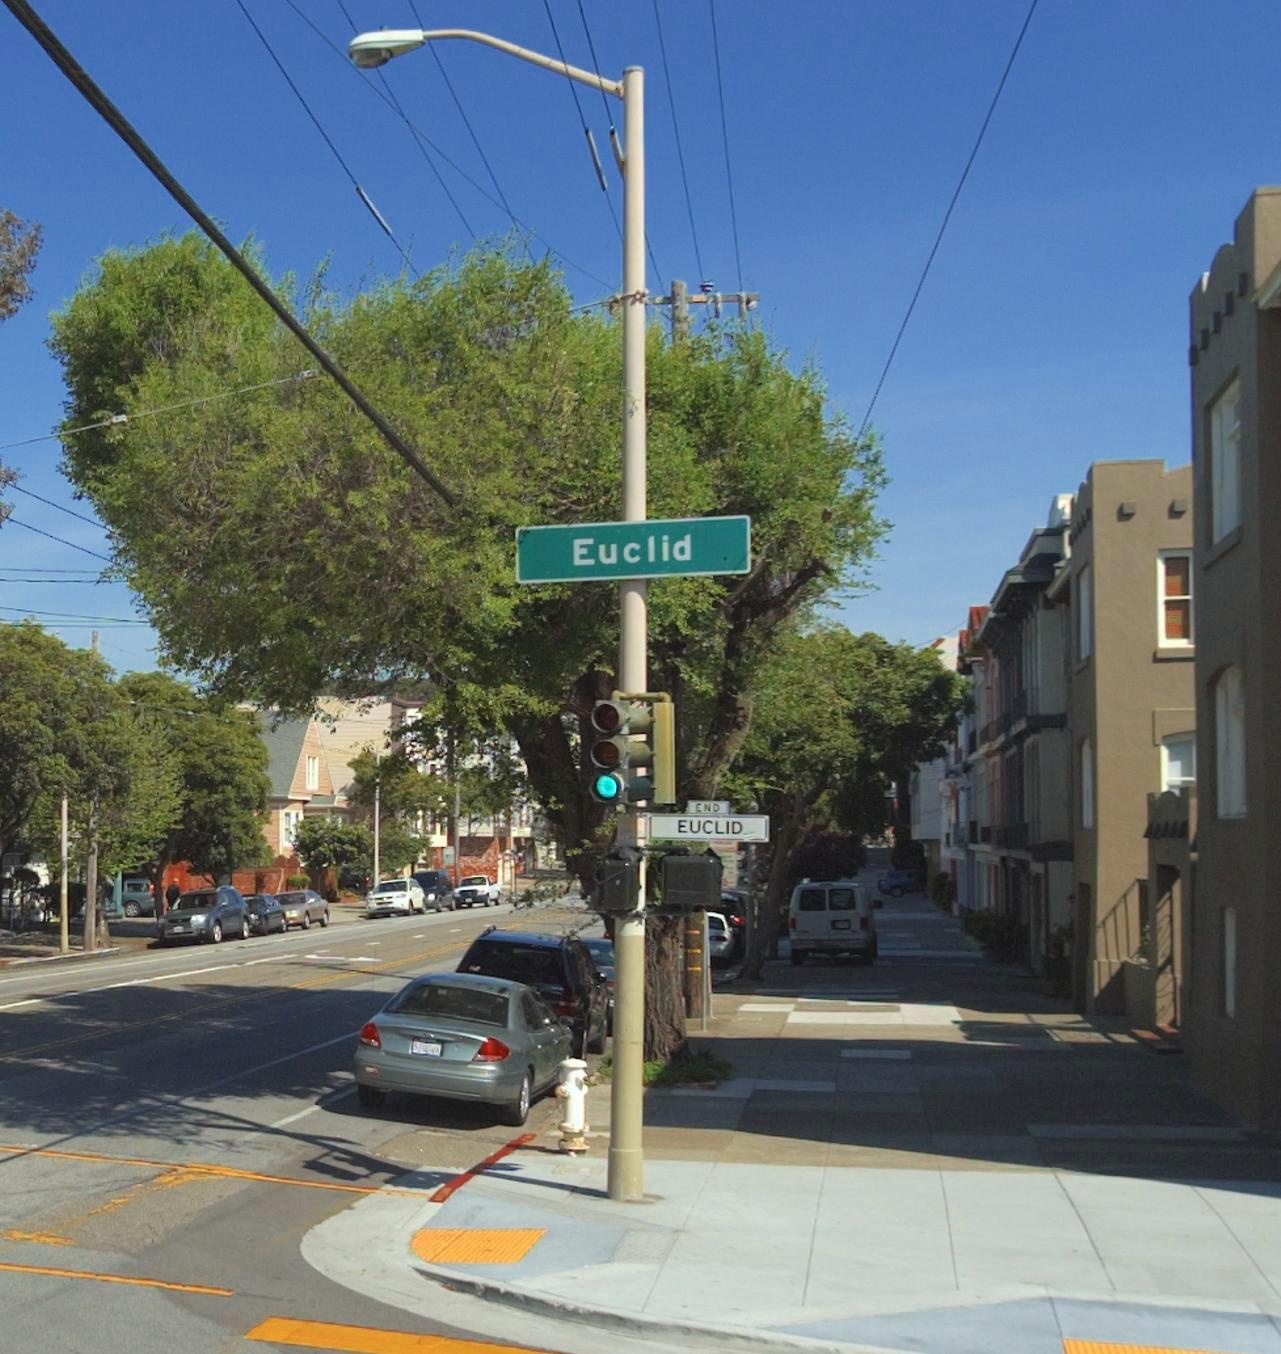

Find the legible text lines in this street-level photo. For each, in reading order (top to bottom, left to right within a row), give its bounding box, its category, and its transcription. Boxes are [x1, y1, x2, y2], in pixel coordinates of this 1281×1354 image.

[571, 532, 693, 569] StreetName: Euclid
[692, 801, 720, 812] StreetNumberRange: END
[677, 817, 744, 836] StreetName: EUCLID